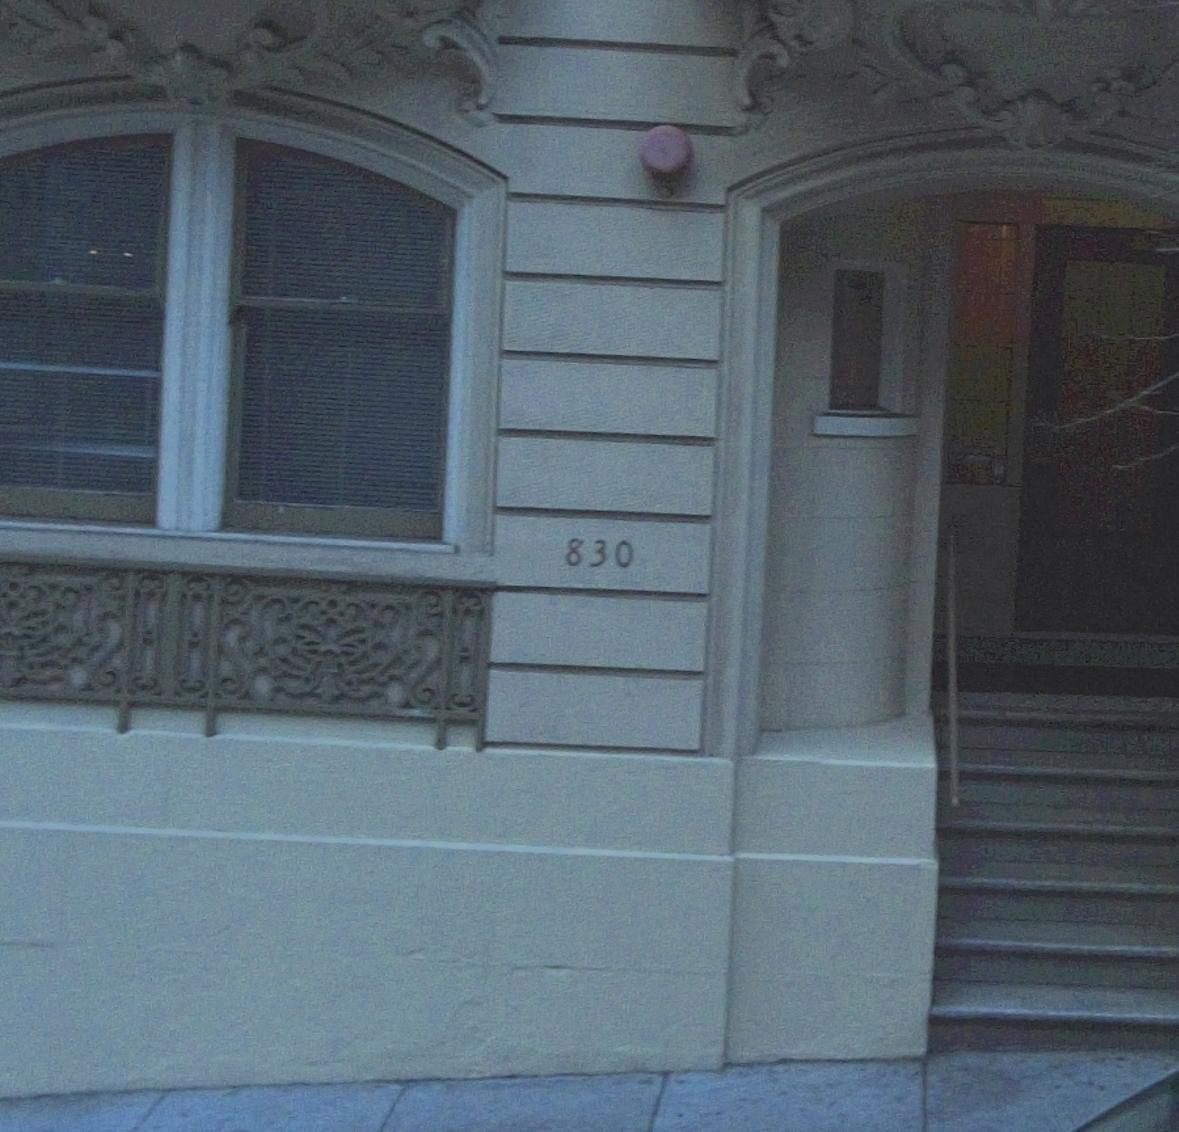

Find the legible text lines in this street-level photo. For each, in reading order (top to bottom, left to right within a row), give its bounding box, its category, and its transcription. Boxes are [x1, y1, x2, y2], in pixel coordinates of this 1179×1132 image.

[563, 535, 636, 570] StreetNumber: 830